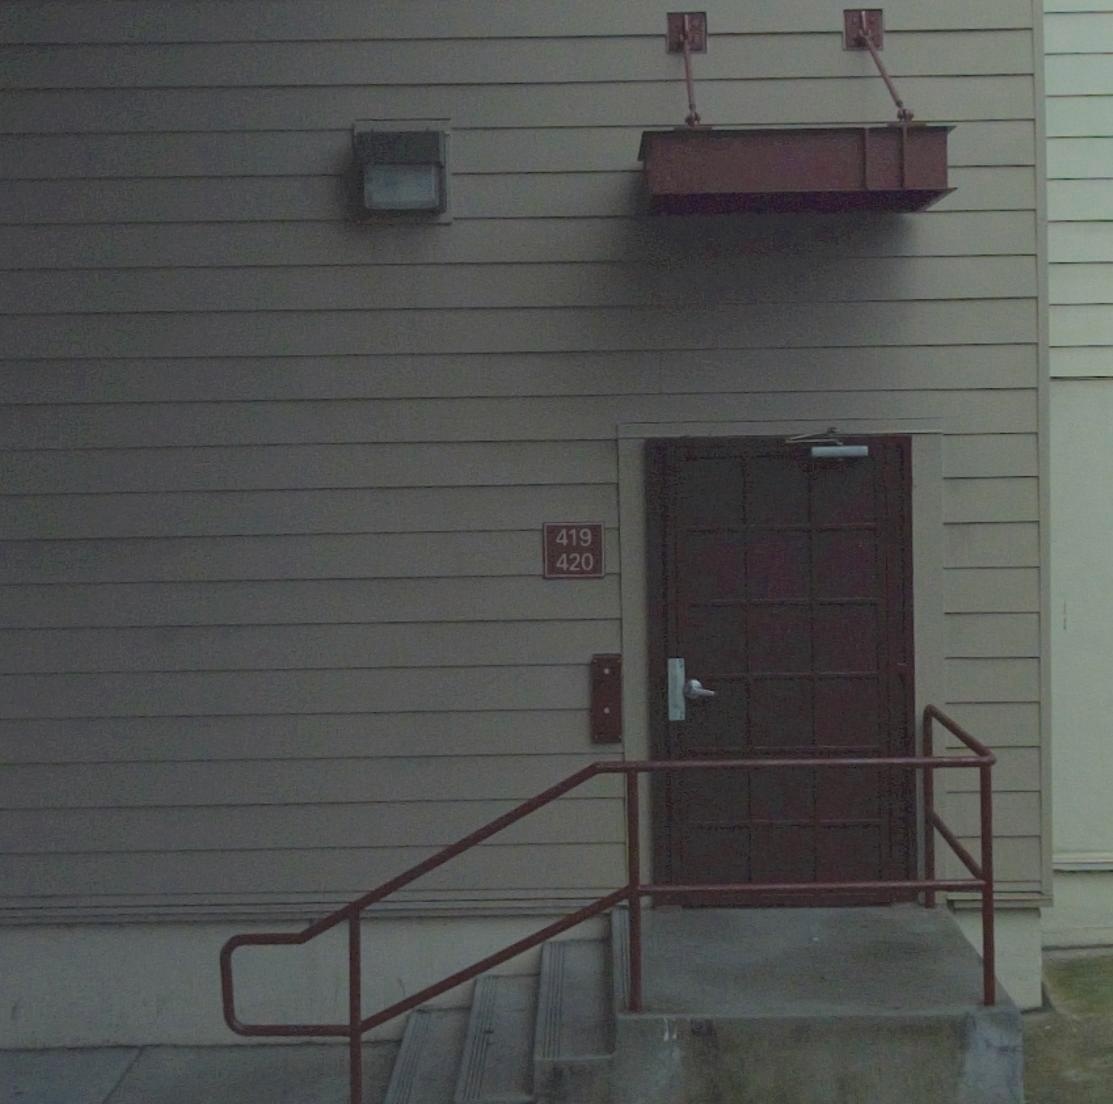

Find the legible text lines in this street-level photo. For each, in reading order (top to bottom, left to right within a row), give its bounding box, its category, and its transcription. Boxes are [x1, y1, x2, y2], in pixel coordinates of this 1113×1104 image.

[552, 525, 595, 549] StreetNumber: 419
[552, 550, 597, 574] StreetNumber: 420